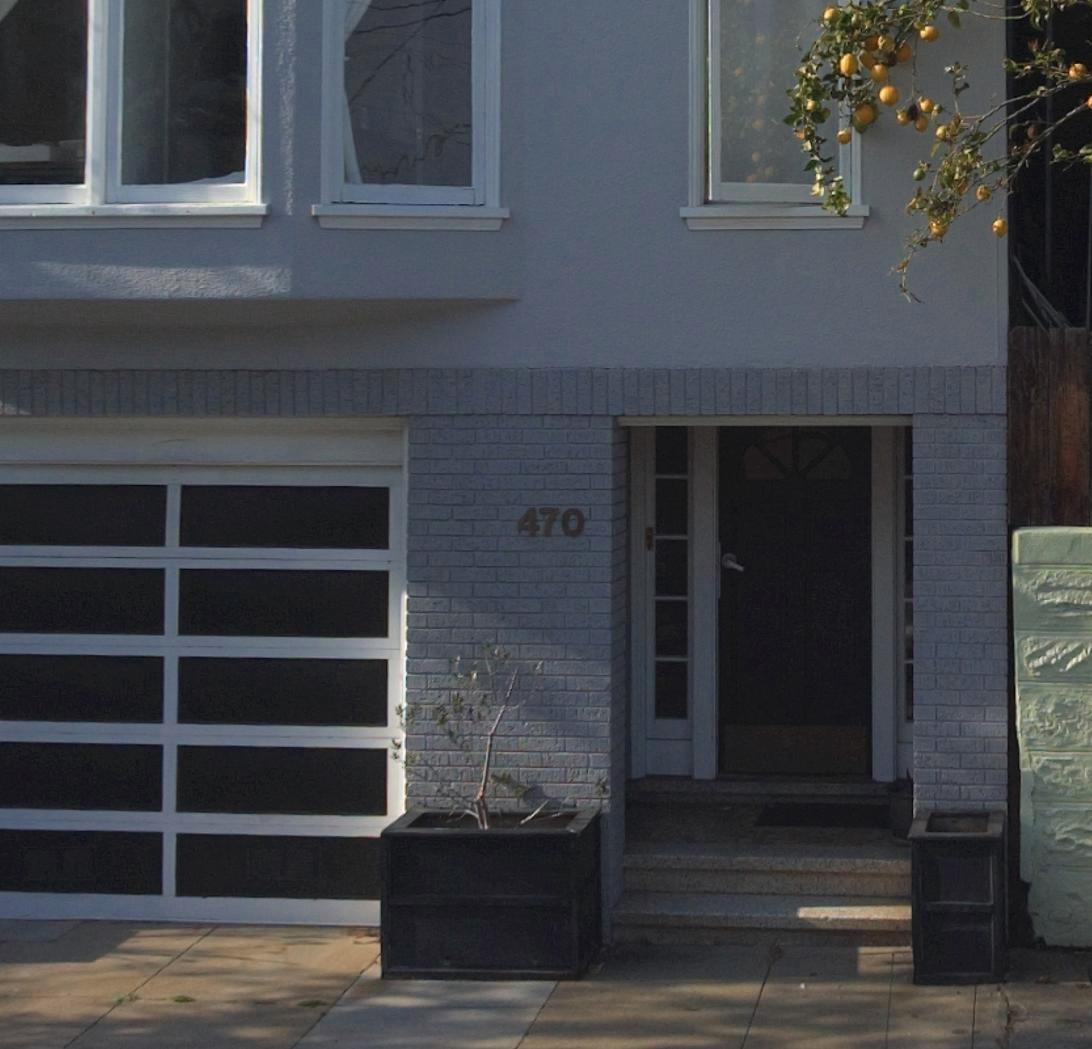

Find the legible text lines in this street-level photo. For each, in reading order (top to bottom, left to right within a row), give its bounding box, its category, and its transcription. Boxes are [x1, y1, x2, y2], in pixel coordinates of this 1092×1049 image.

[515, 505, 587, 540] StreetNumber: 470